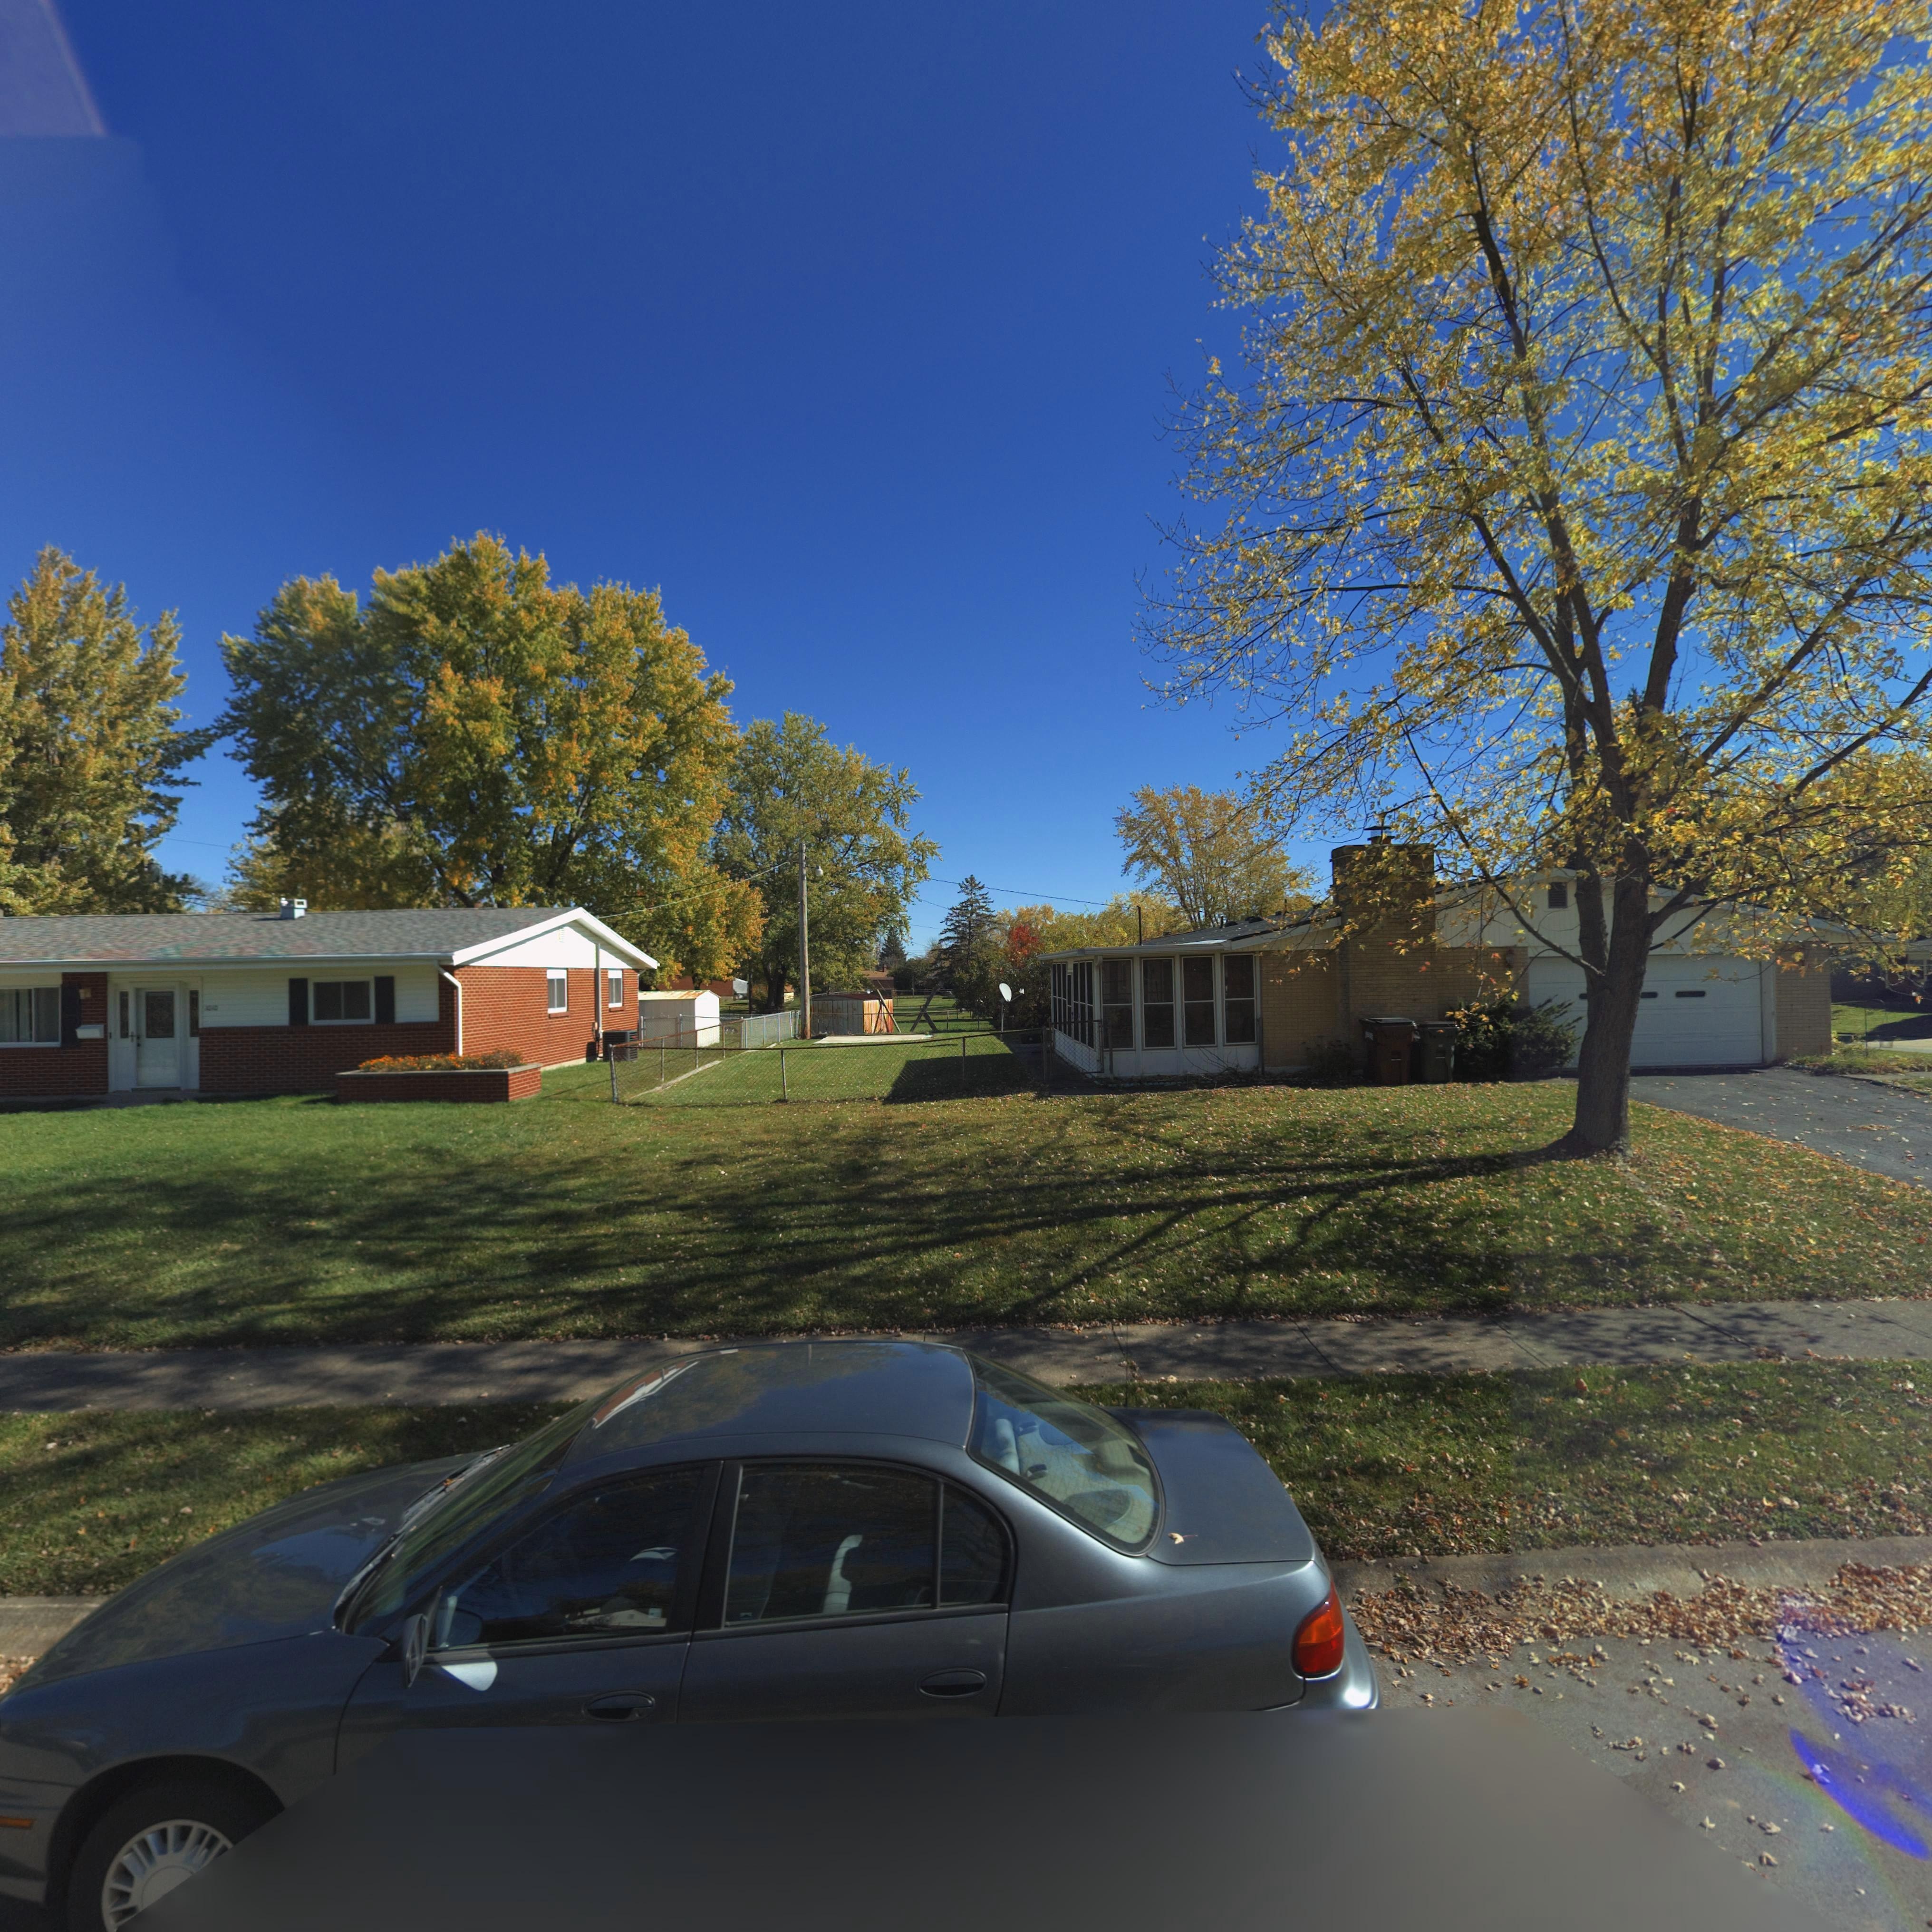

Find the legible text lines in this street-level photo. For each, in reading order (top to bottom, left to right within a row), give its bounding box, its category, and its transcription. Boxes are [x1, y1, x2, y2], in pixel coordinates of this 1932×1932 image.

[204, 1004, 219, 1012] StreetNumber: 10*0